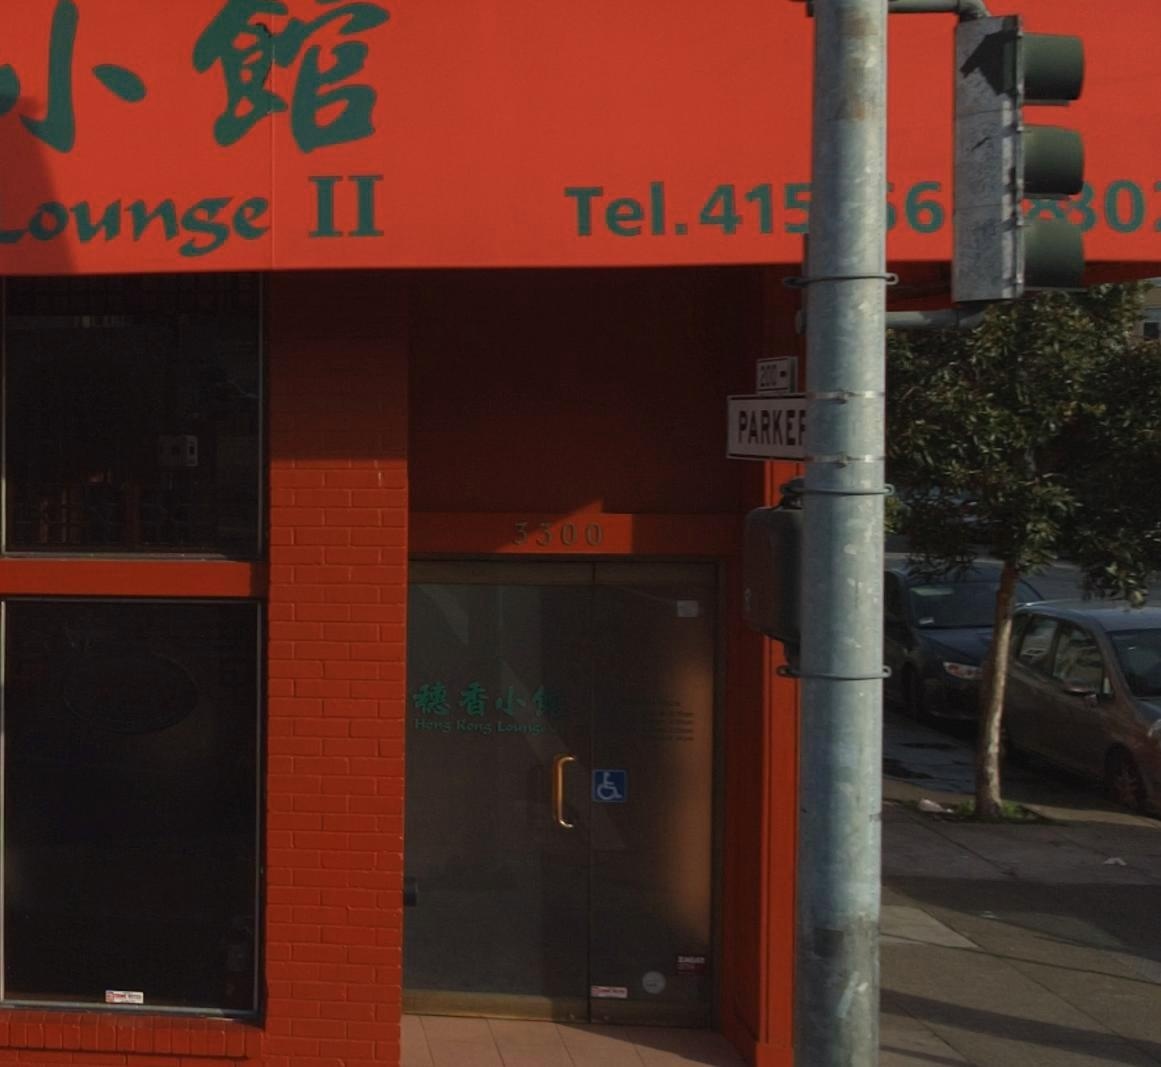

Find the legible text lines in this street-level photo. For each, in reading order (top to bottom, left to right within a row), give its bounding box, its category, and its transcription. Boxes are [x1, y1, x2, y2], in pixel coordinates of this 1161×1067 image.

[24, 169, 389, 260] BusinessName: ounge II
[556, 172, 1153, 243] None: Tel.41**6***0
[757, 360, 792, 390] StreetNumberRange: 200->
[736, 406, 798, 448] StreetName: PARKE
[508, 519, 603, 548] StreetNumber: 3300
[411, 713, 549, 739] BusinessName: Hong Kong Loung*